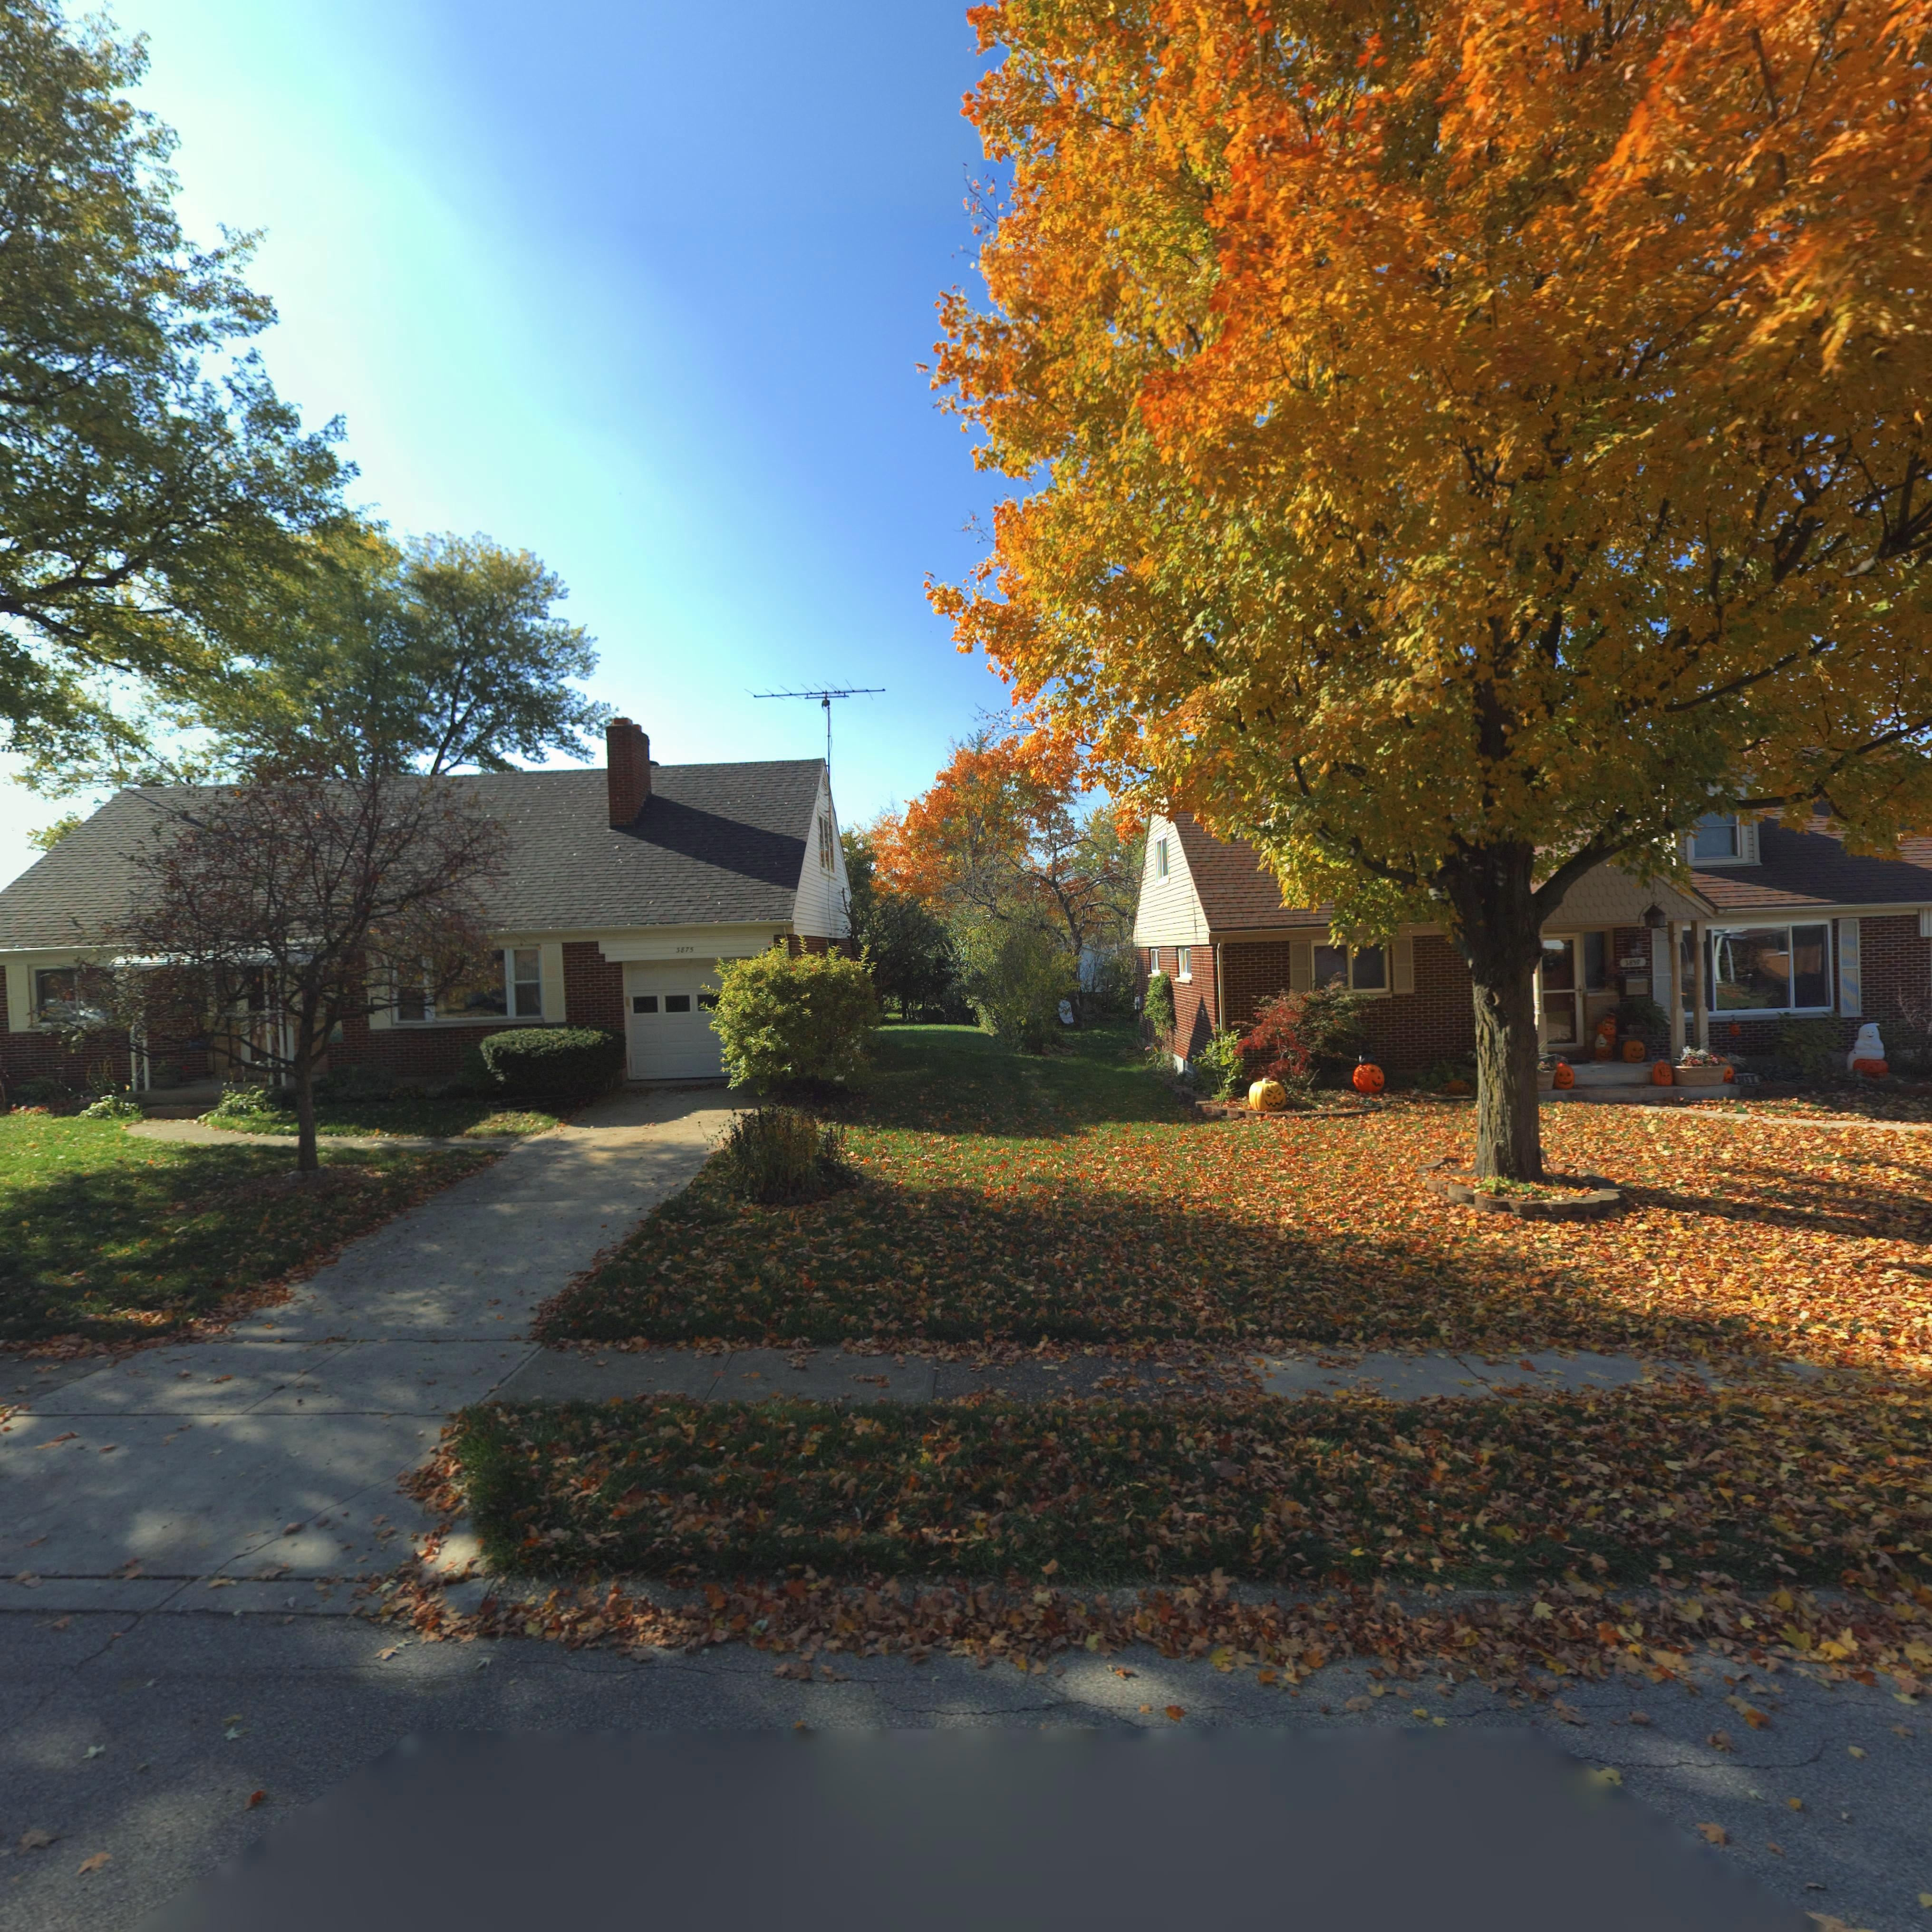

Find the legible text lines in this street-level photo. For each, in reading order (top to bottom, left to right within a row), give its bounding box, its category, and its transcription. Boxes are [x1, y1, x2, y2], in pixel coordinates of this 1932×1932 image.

[675, 947, 695, 954] StreetNumber: 3875
[1623, 959, 1641, 966] StreetNumber: 3859
[1736, 1076, 1756, 1085] StreetNumber: **59